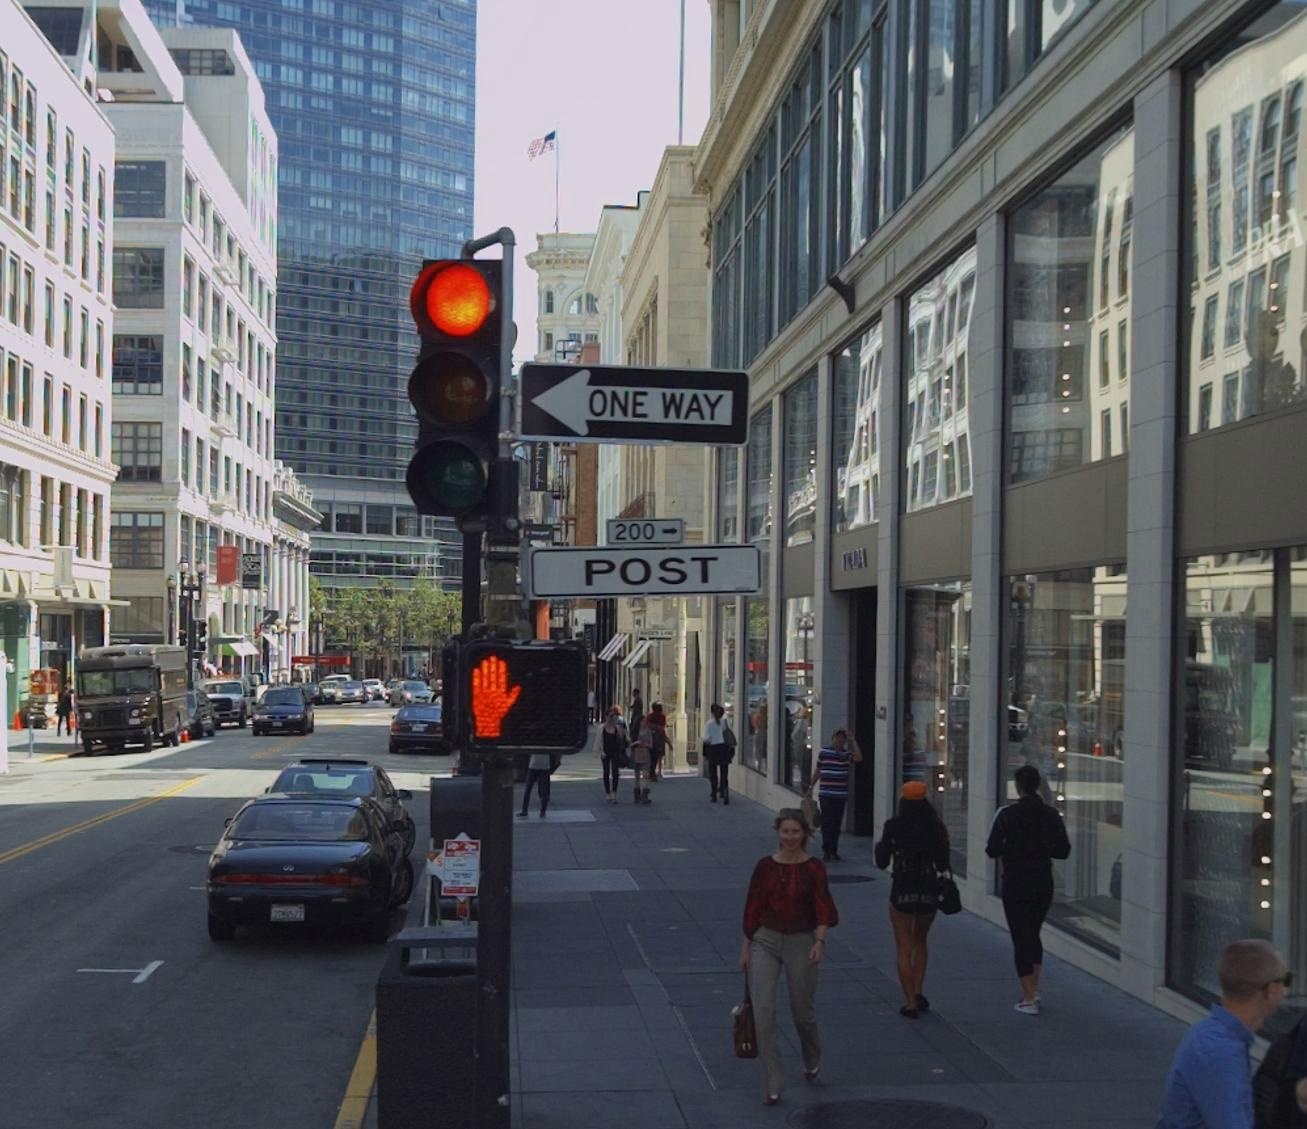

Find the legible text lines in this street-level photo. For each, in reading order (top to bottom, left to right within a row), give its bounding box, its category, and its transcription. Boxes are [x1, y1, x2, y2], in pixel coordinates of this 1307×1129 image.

[586, 387, 729, 424] None: ONE WAY
[613, 520, 680, 543] None: 200 ->
[581, 555, 722, 590] StreetName: POST